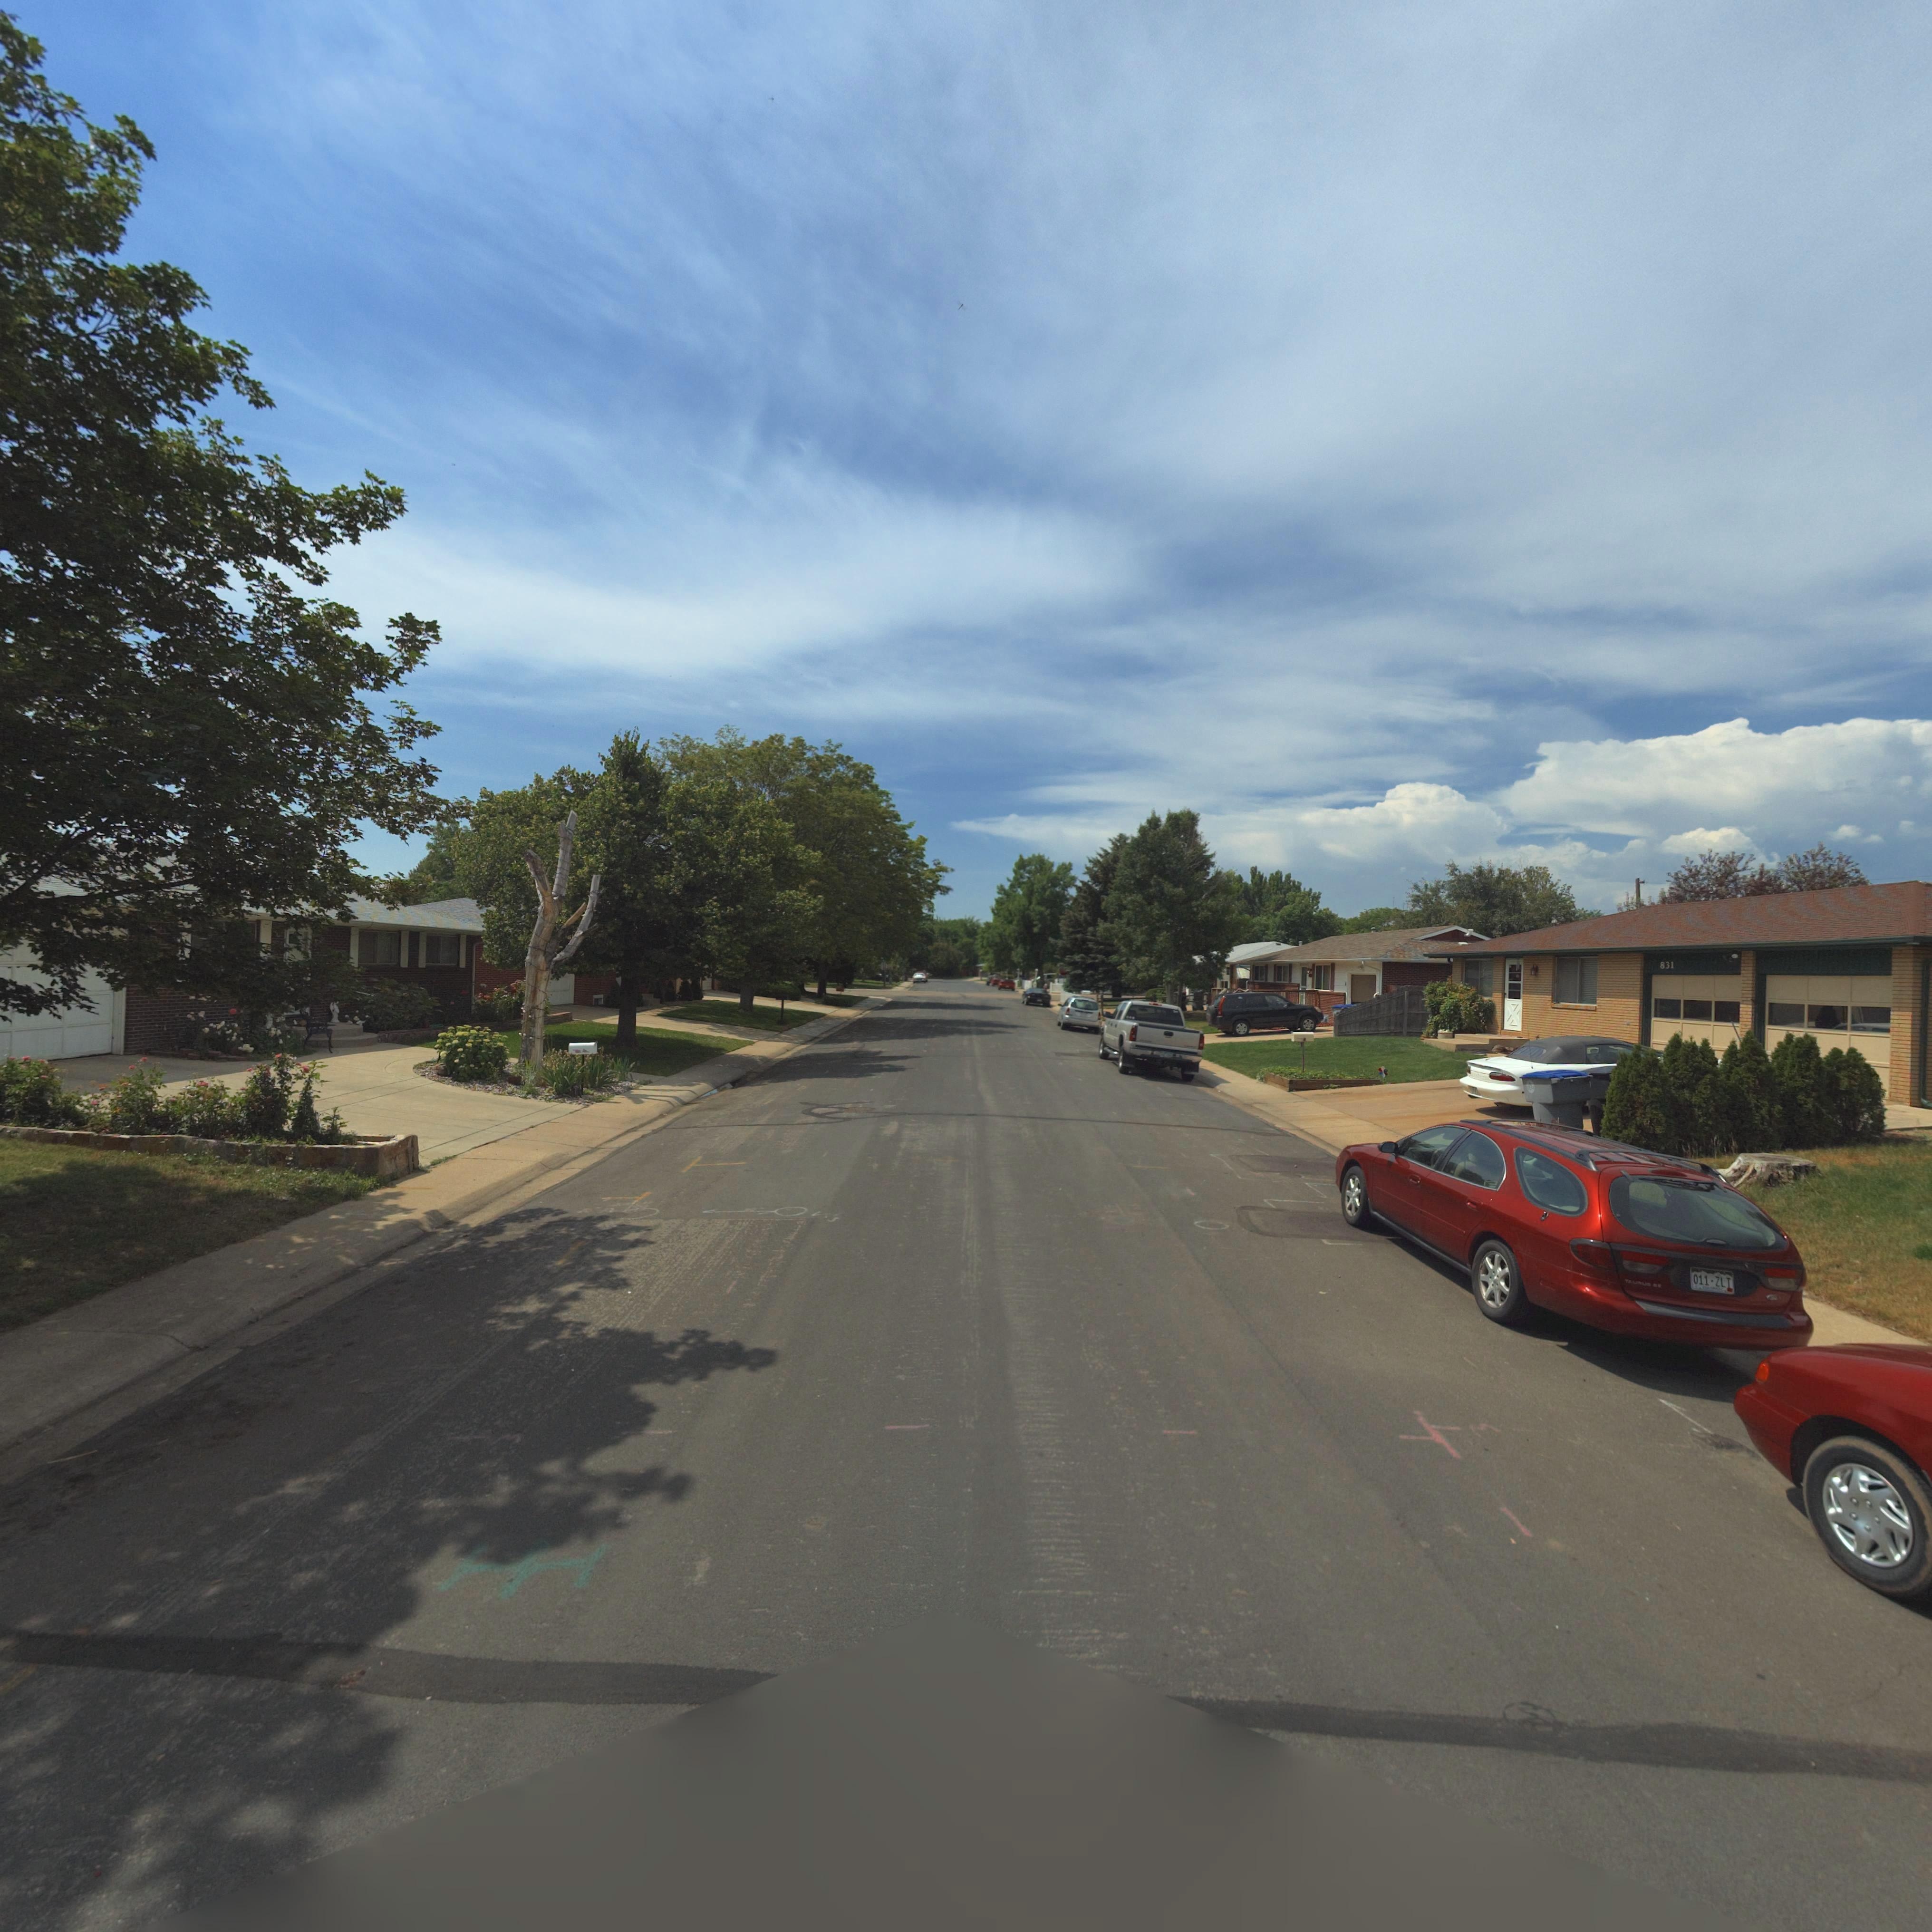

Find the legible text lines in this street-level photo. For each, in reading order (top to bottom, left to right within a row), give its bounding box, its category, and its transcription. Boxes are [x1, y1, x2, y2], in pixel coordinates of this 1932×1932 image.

[1659, 961, 1674, 969] StreetNumber: 831